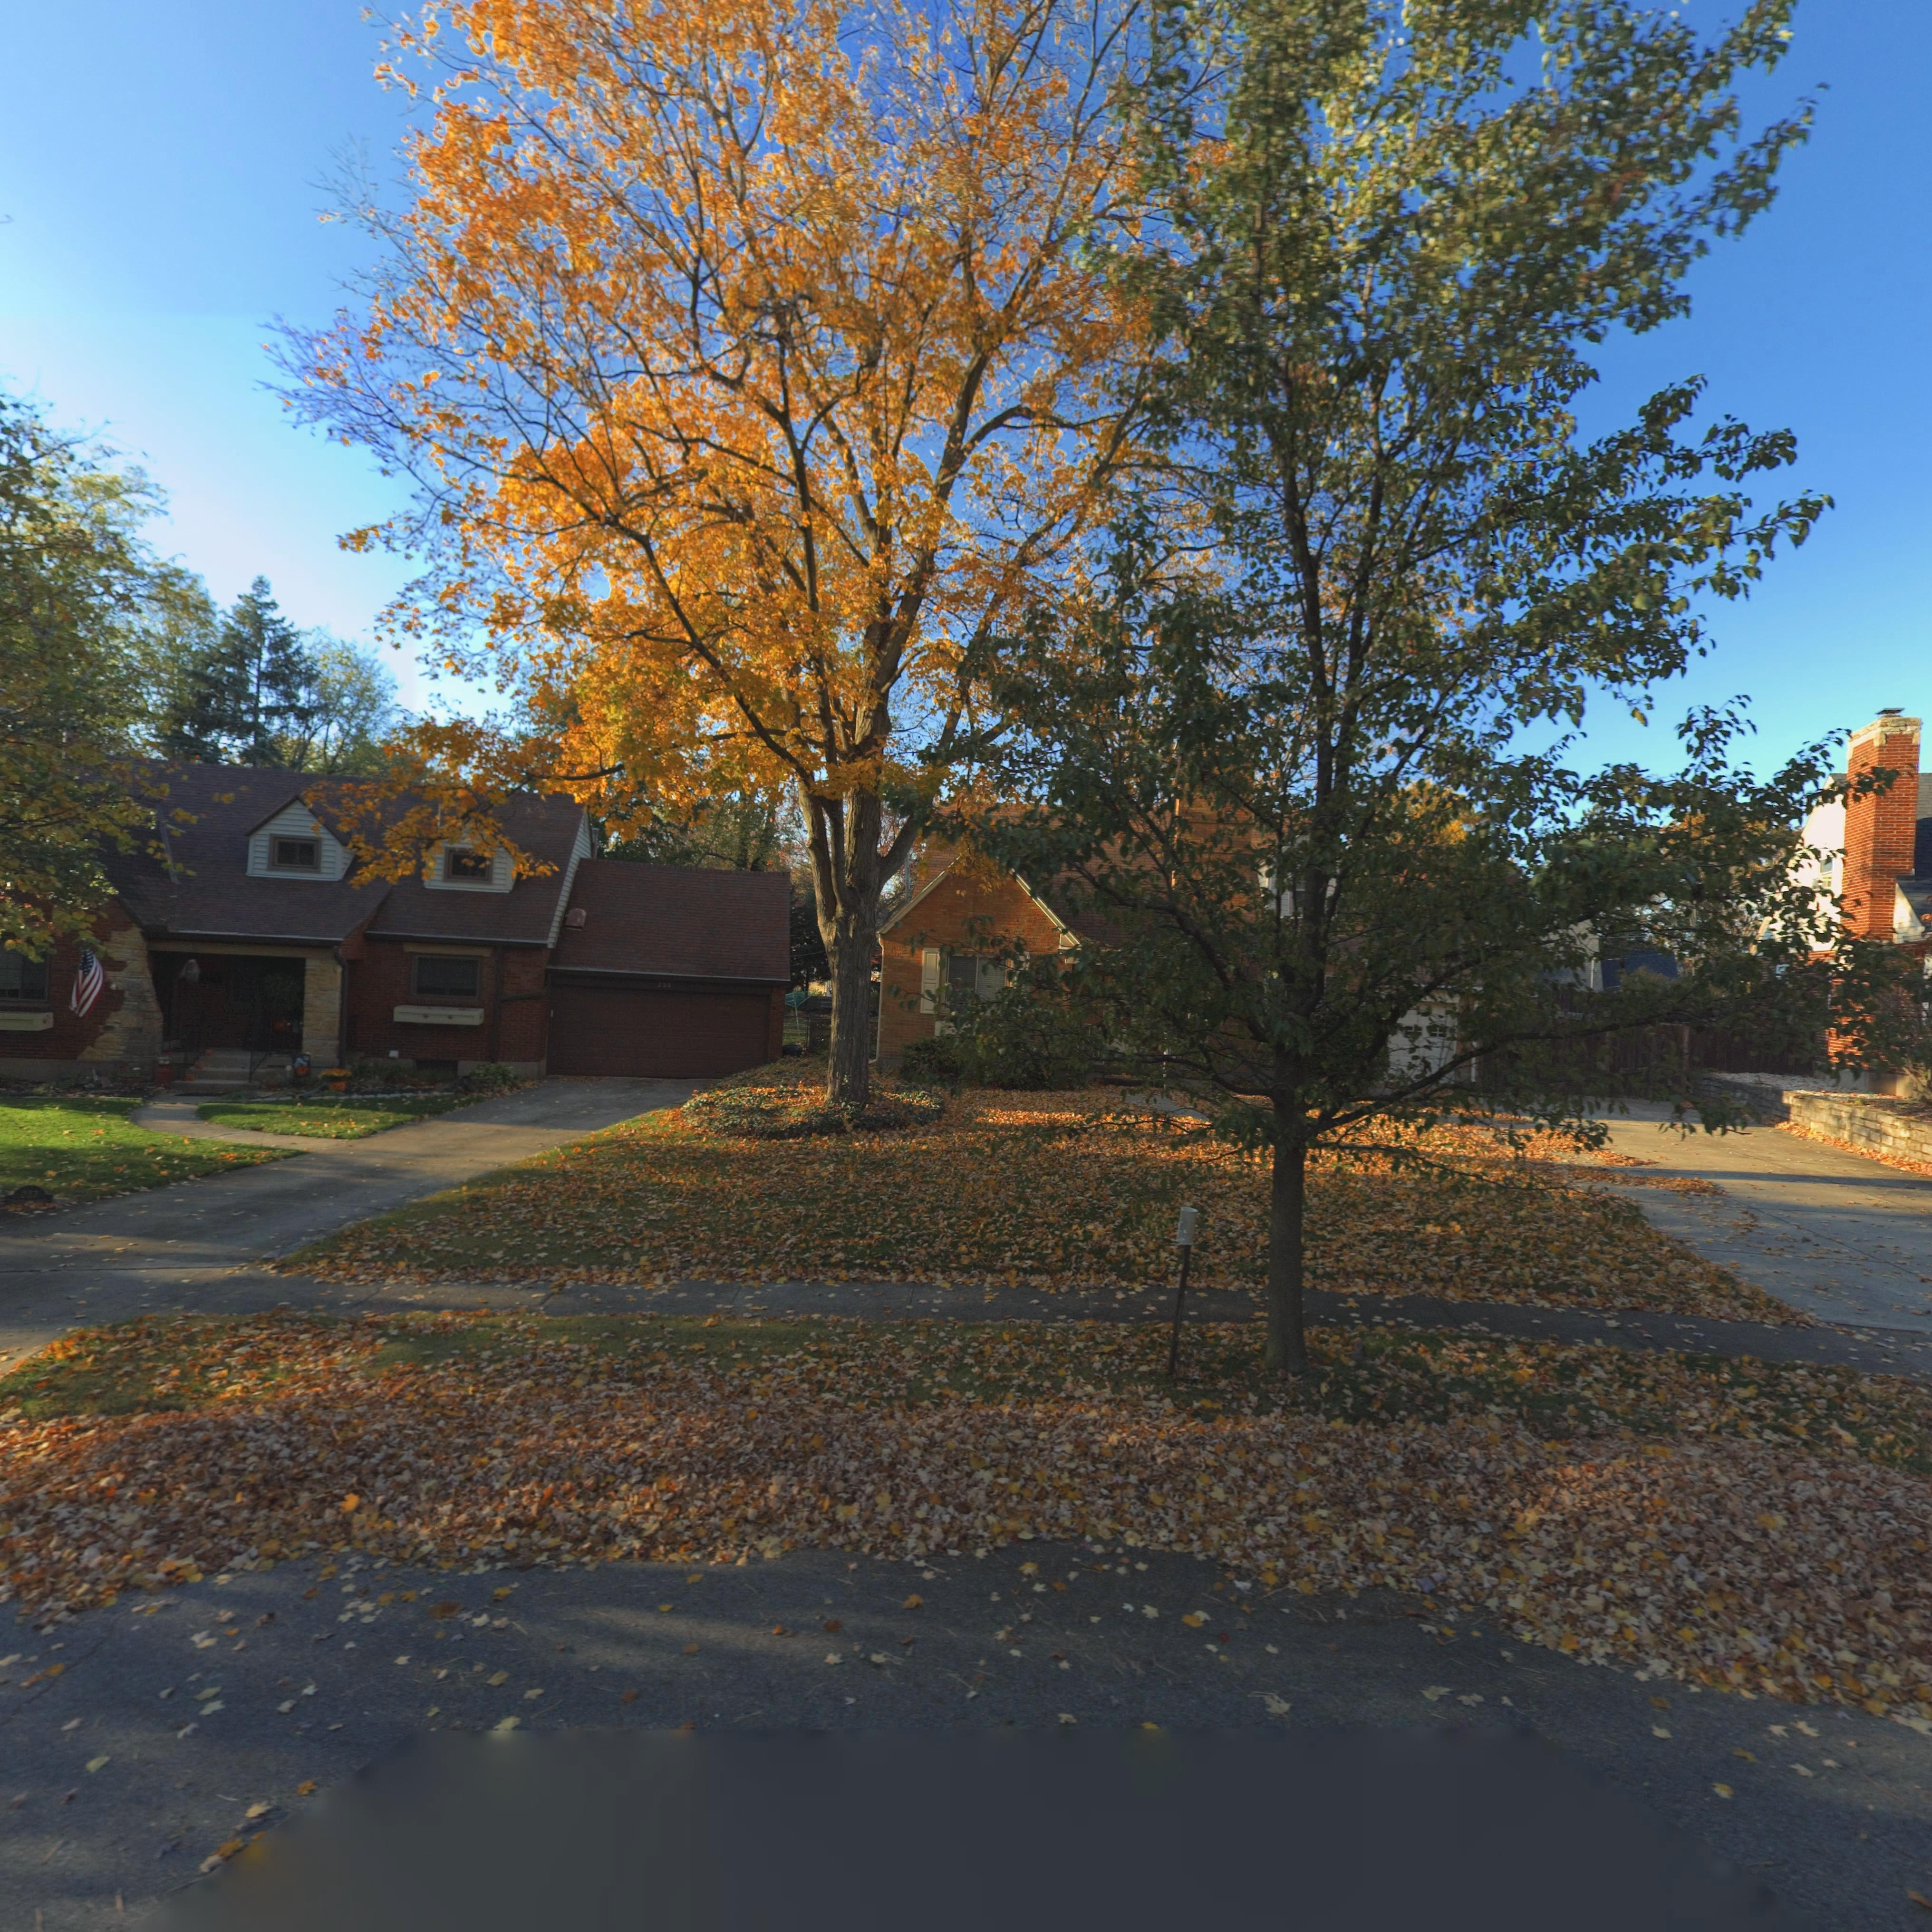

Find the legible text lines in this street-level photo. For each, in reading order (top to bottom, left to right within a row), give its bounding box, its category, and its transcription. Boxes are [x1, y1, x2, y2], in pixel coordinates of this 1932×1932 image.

[657, 982, 672, 988] StreetNumber: 233